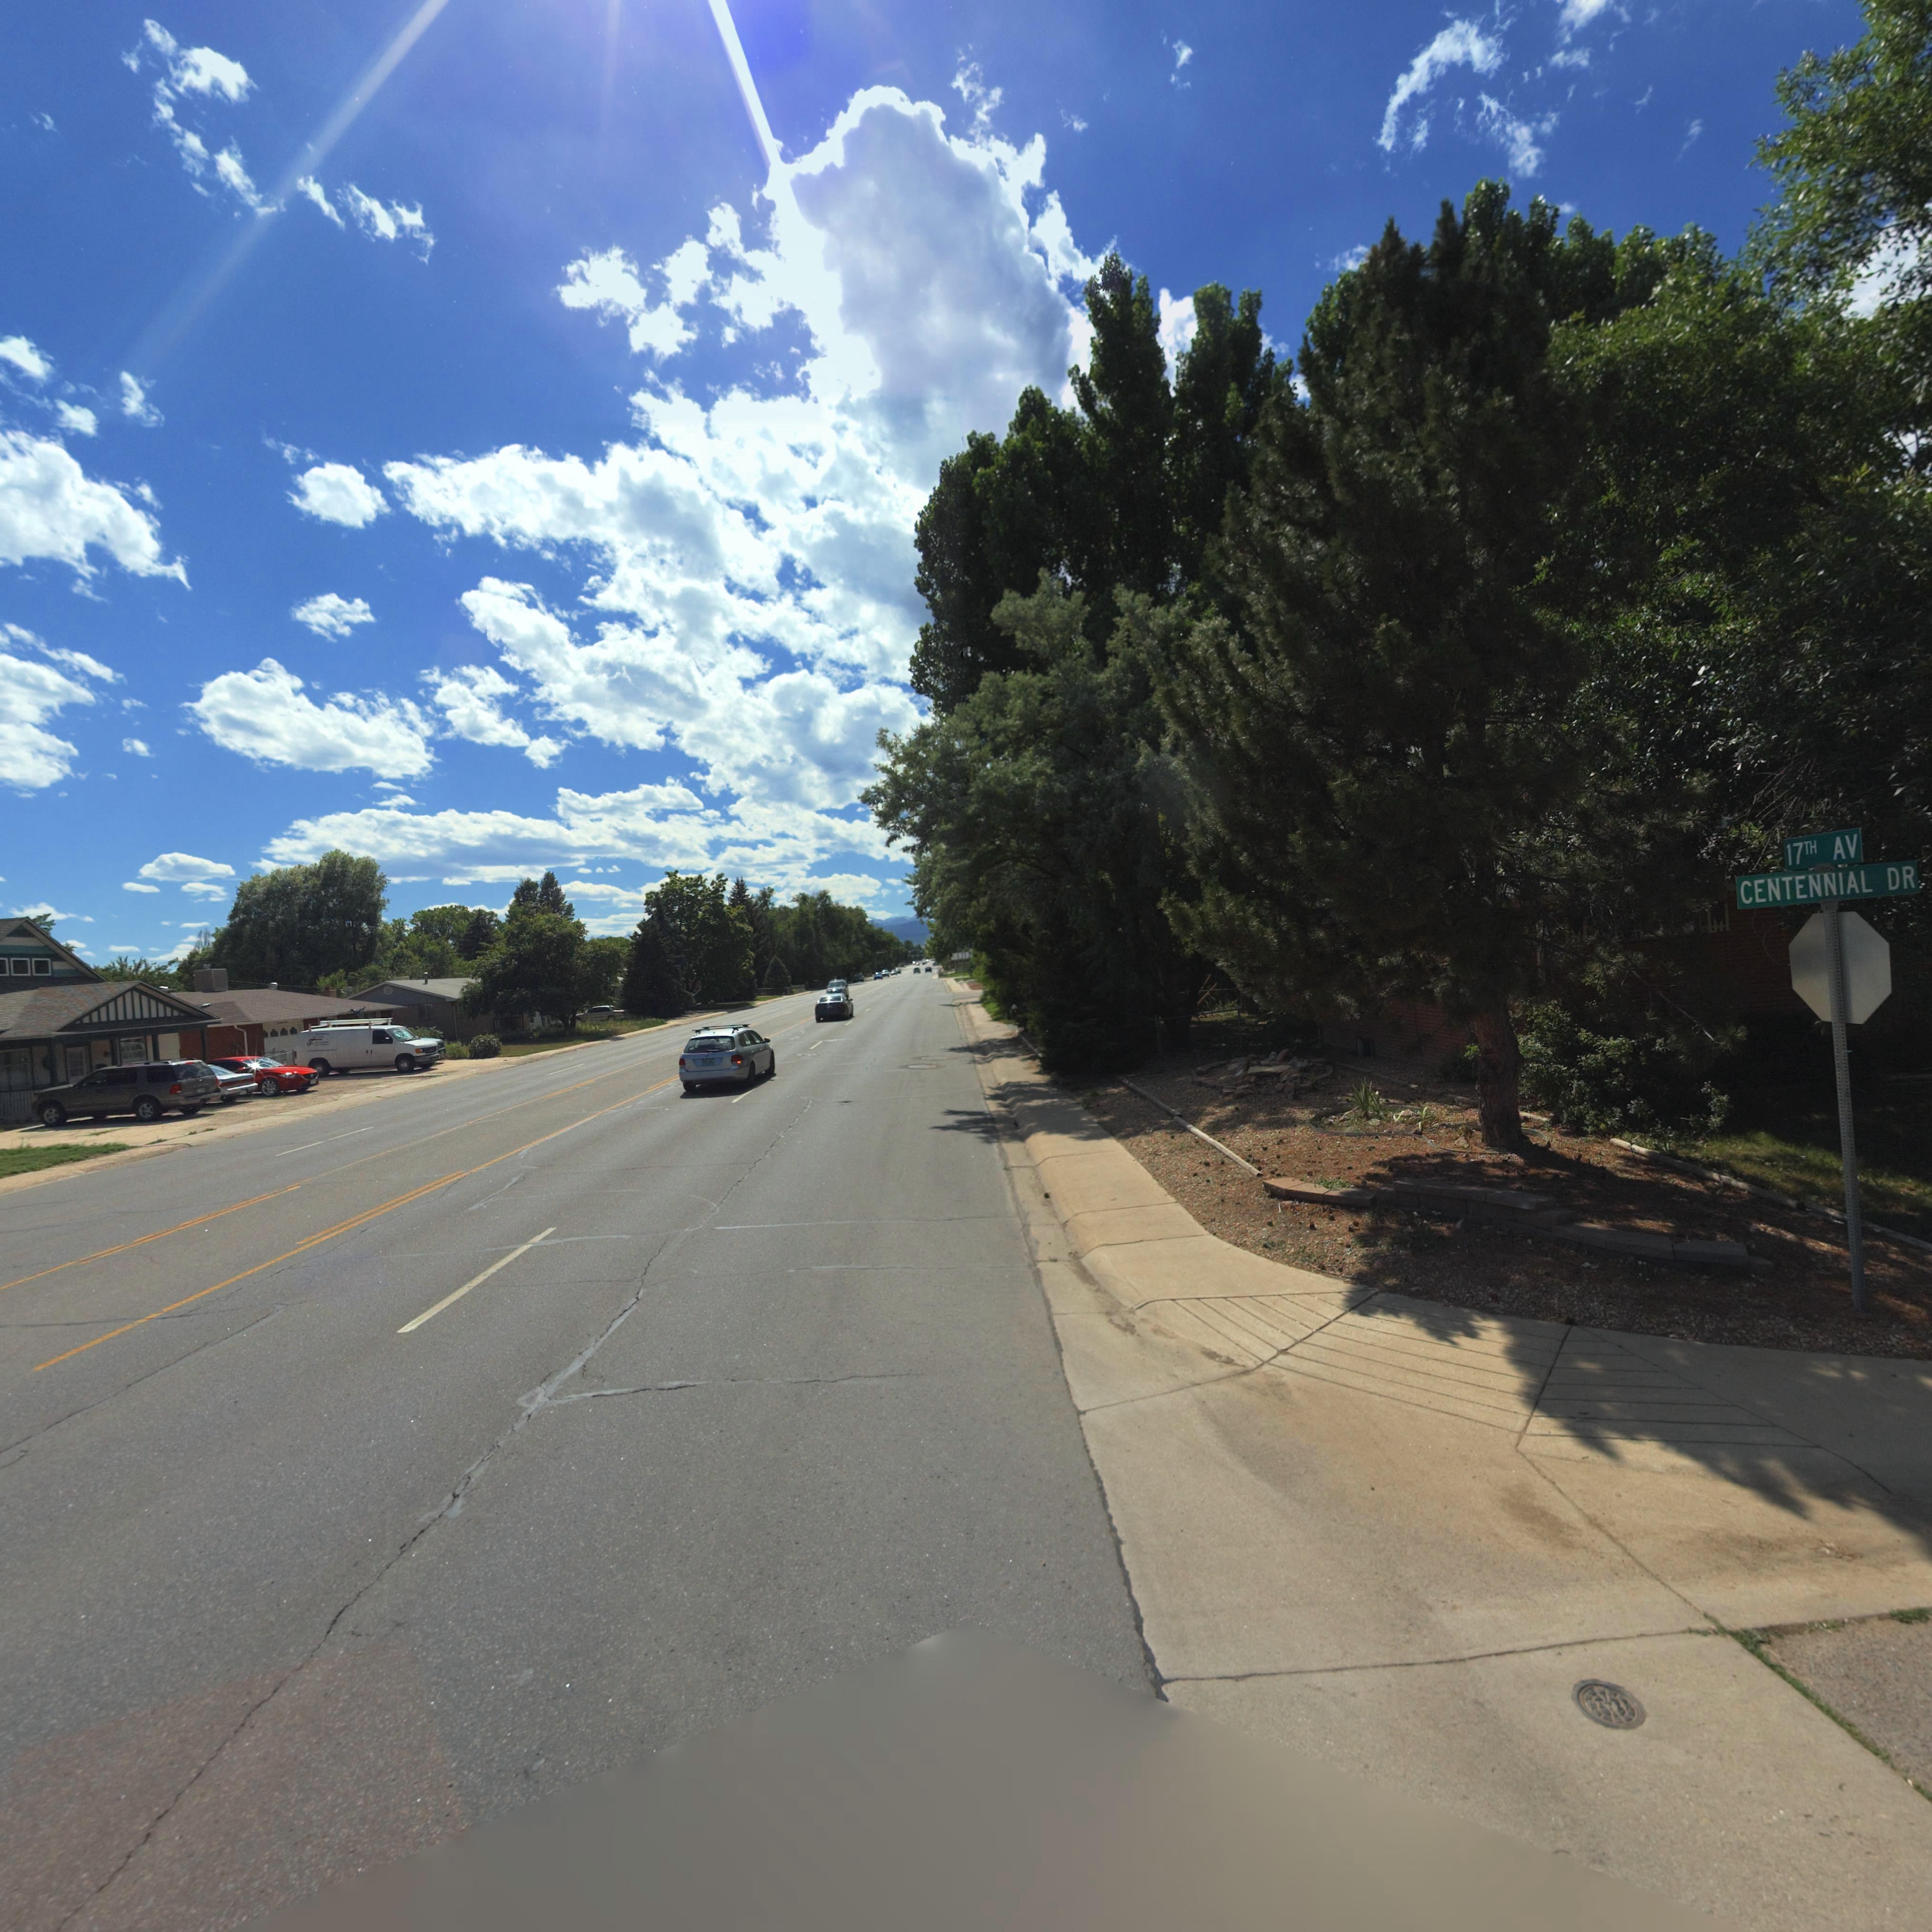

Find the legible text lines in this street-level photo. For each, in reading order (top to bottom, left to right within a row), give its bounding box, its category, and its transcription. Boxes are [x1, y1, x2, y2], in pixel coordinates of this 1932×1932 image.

[1786, 833, 1857, 866] StreetName: 17TH AV
[1739, 865, 1915, 904] StreetName: CENTENNIAL DR